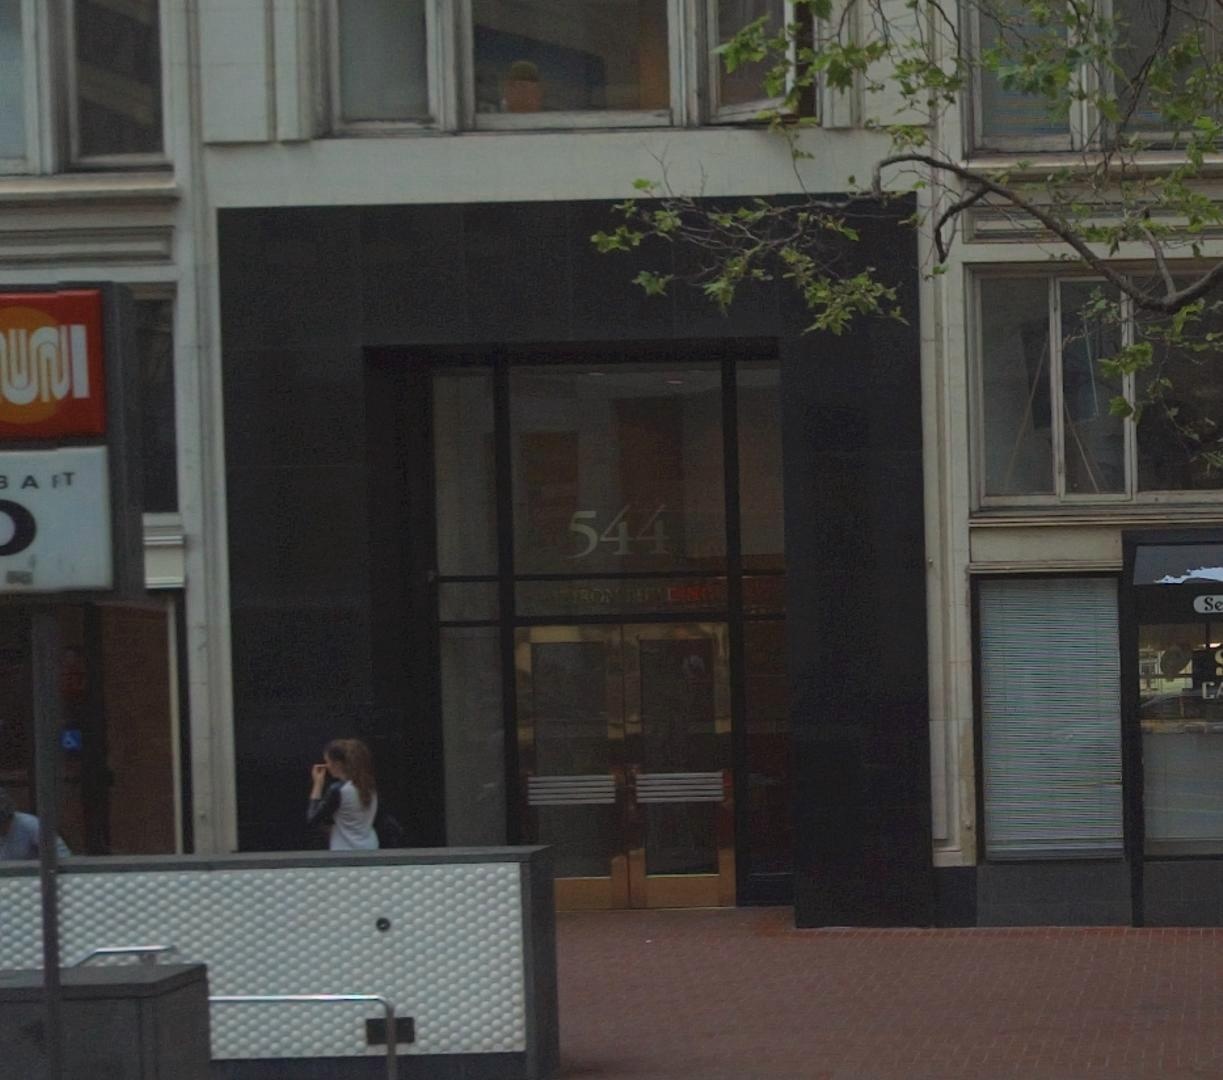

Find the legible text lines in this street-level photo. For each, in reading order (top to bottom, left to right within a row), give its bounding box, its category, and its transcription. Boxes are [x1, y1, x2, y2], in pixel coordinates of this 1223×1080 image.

[18, 472, 41, 493] None: A
[562, 500, 674, 563] StreetNumber: 544
[570, 585, 622, 607] None: IROM
[1201, 595, 1215, 613] None: S